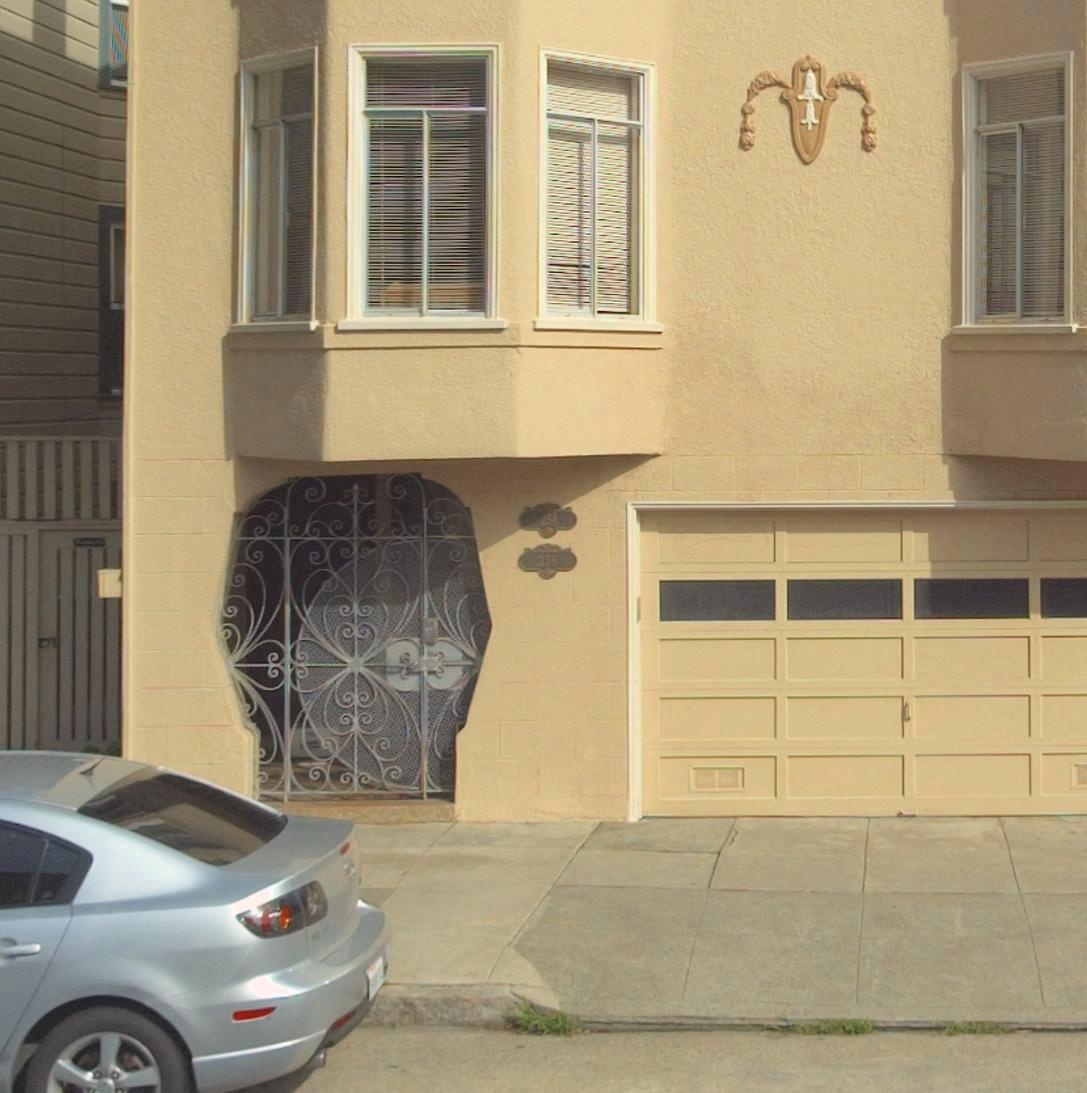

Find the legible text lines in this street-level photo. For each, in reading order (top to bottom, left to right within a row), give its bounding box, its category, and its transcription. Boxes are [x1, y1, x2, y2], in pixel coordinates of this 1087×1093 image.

[535, 512, 558, 527] StreetNumber: 234
[537, 552, 558, 568] StreetNumber: 236